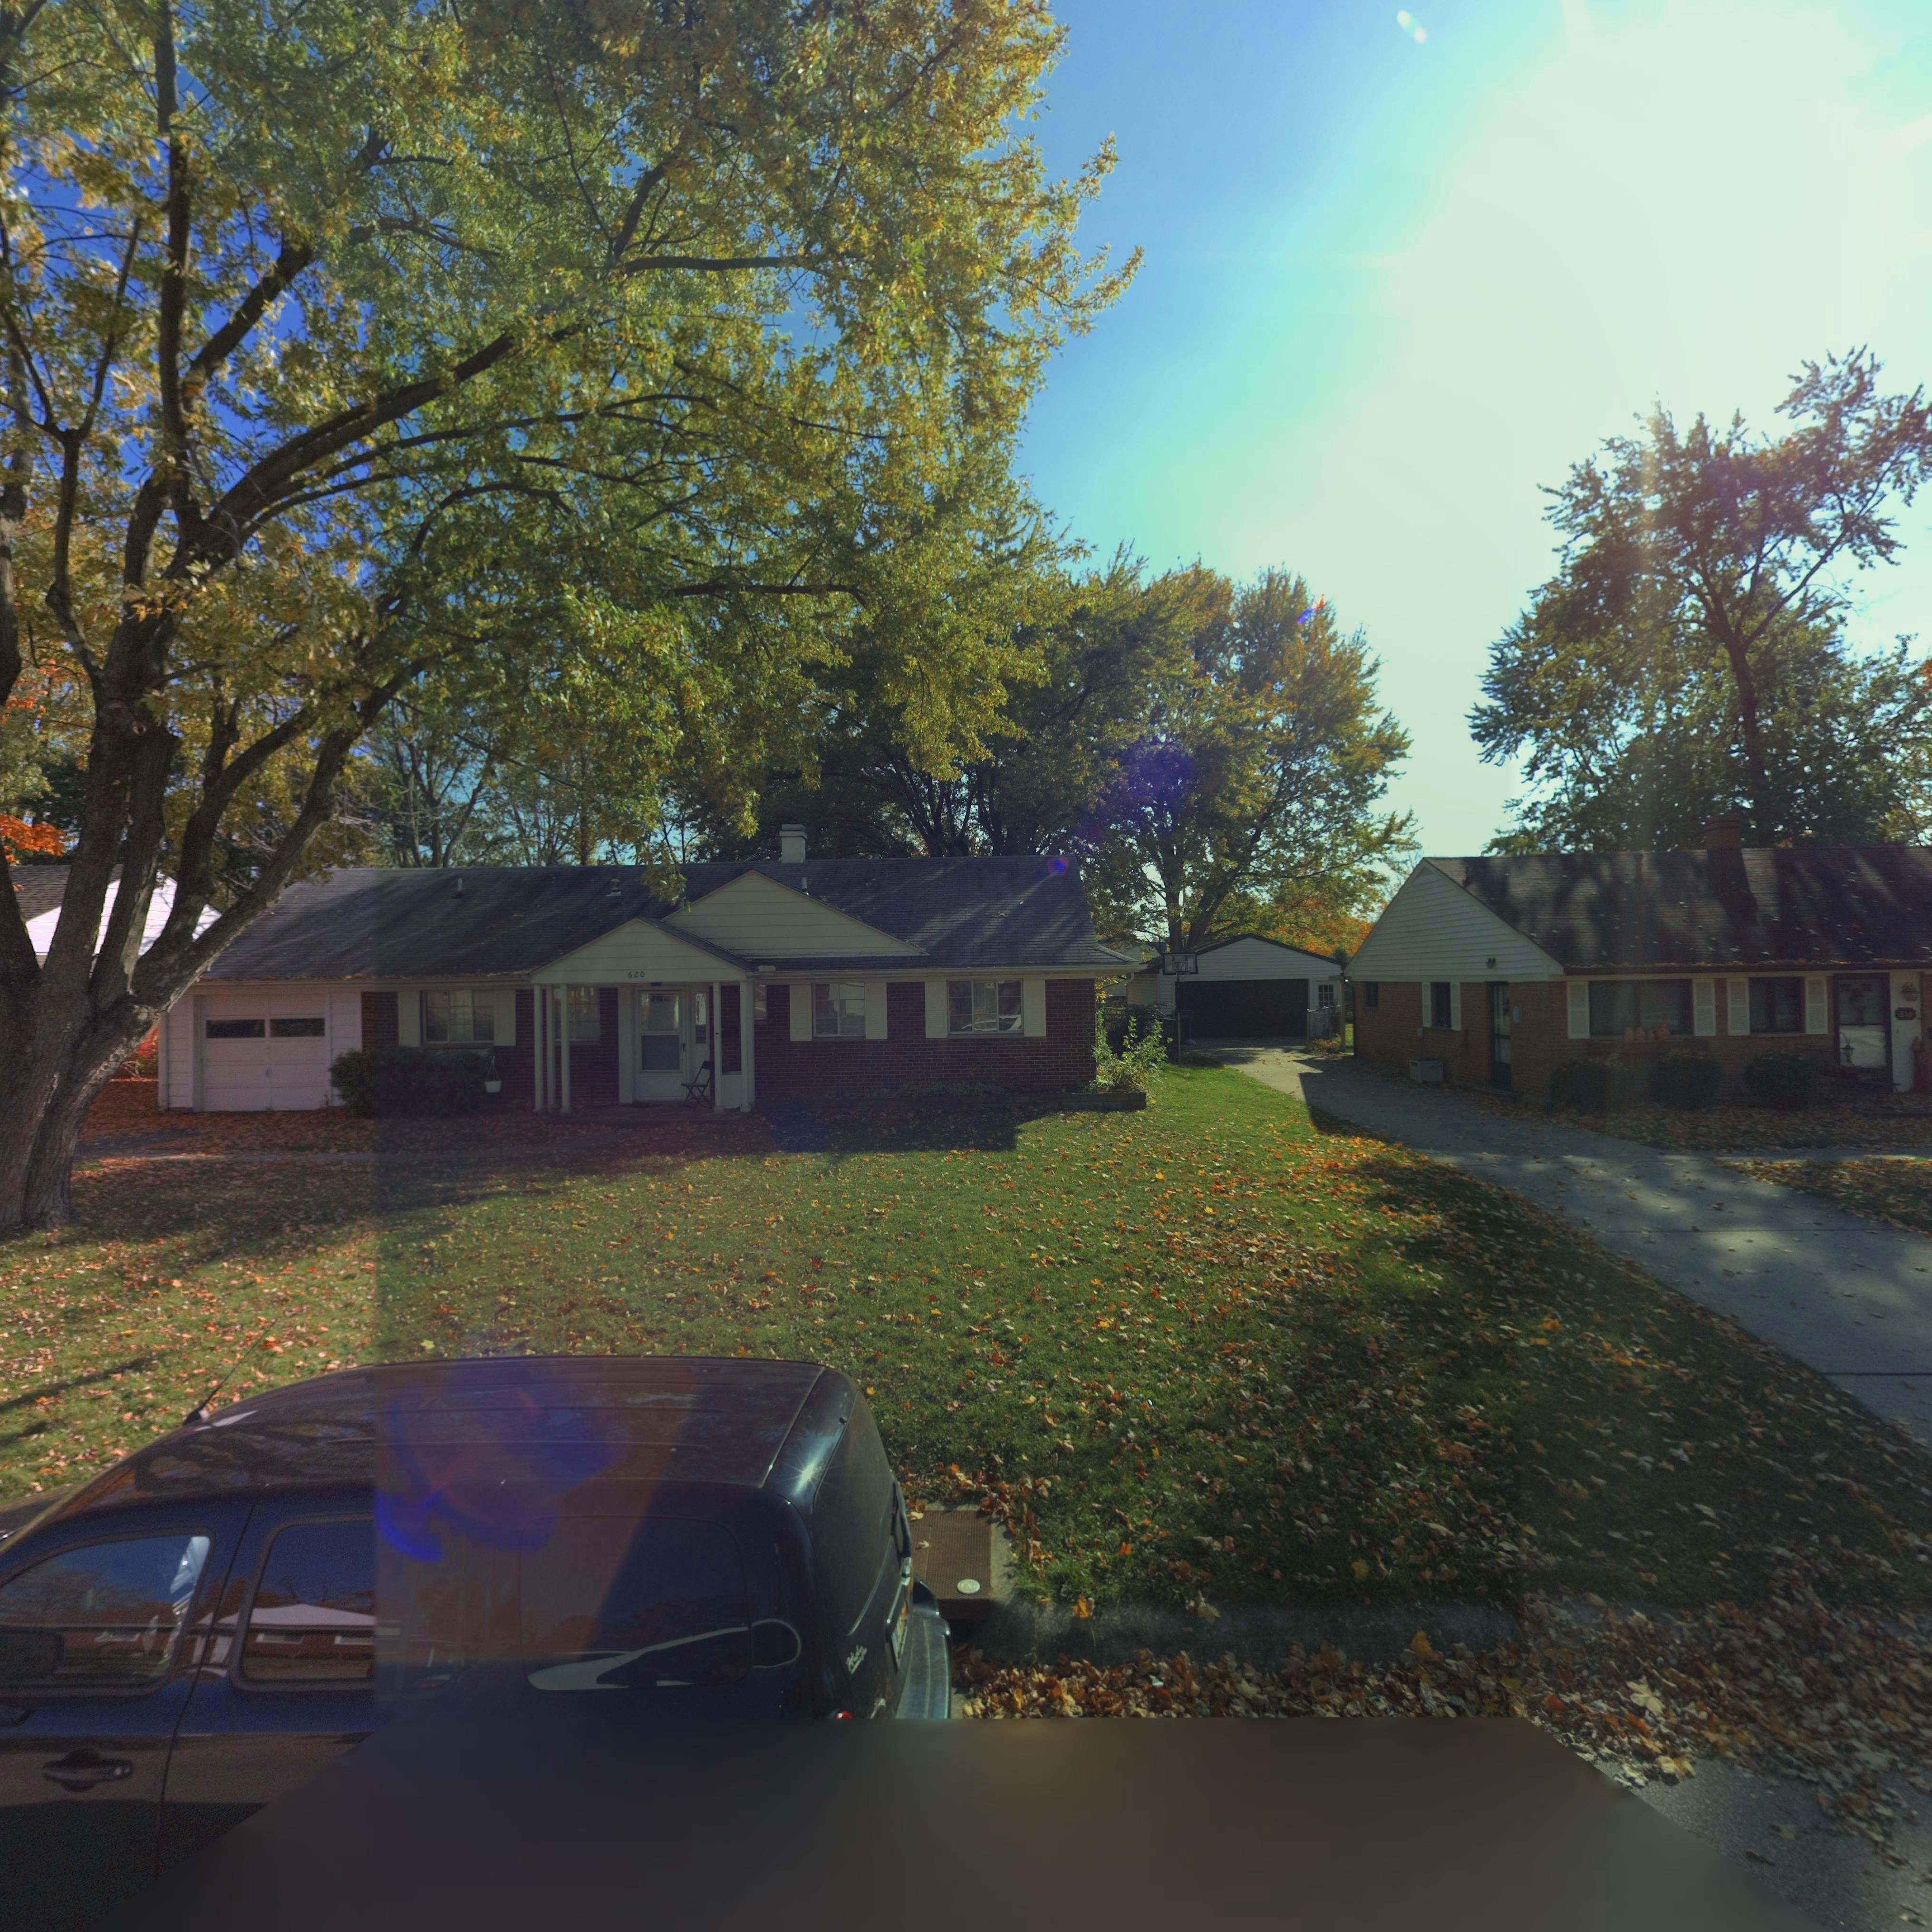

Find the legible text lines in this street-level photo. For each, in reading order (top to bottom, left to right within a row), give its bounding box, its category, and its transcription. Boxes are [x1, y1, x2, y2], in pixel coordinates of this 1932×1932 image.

[627, 971, 645, 979] StreetNumber: 620
[1898, 1010, 1913, 1018] StreetNumber: 616